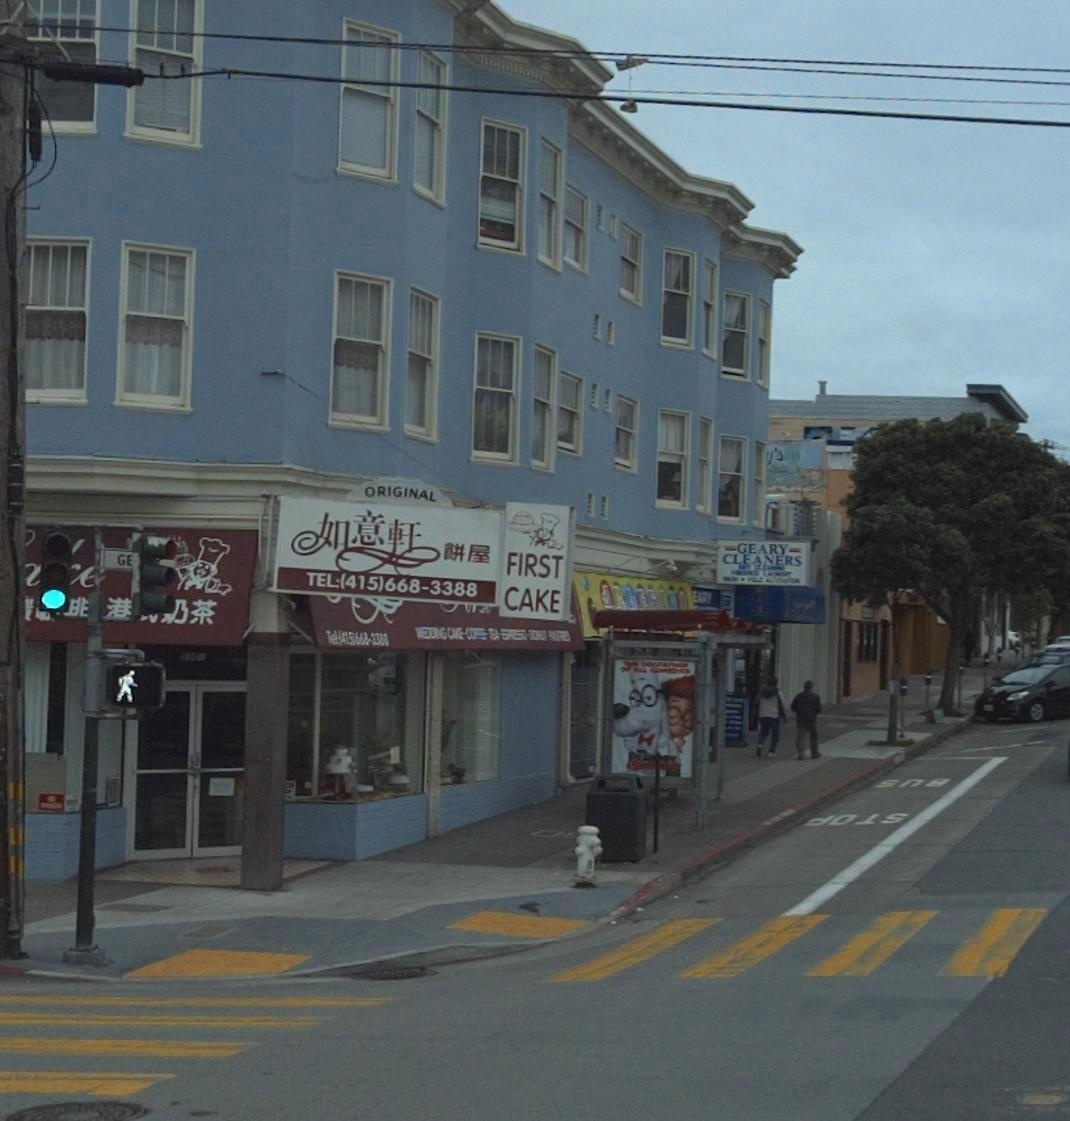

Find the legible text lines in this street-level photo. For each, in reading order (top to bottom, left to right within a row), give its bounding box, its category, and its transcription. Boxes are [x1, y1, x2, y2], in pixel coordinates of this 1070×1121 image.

[362, 482, 440, 505] None: ORIGINAL
[733, 540, 792, 556] BusinessName: GEARY
[114, 551, 135, 570] StreetName: GE
[504, 549, 567, 582] BusinessName: FIRST
[719, 550, 805, 569] BusinessName: CLEANERS
[304, 569, 481, 599] None: TEL*(415)668-3388
[501, 583, 563, 617] BusinessName: CAKE
[369, 629, 392, 649] None: 33*8
[872, 776, 955, 791] None: S**
[799, 810, 914, 828] None: *O*S